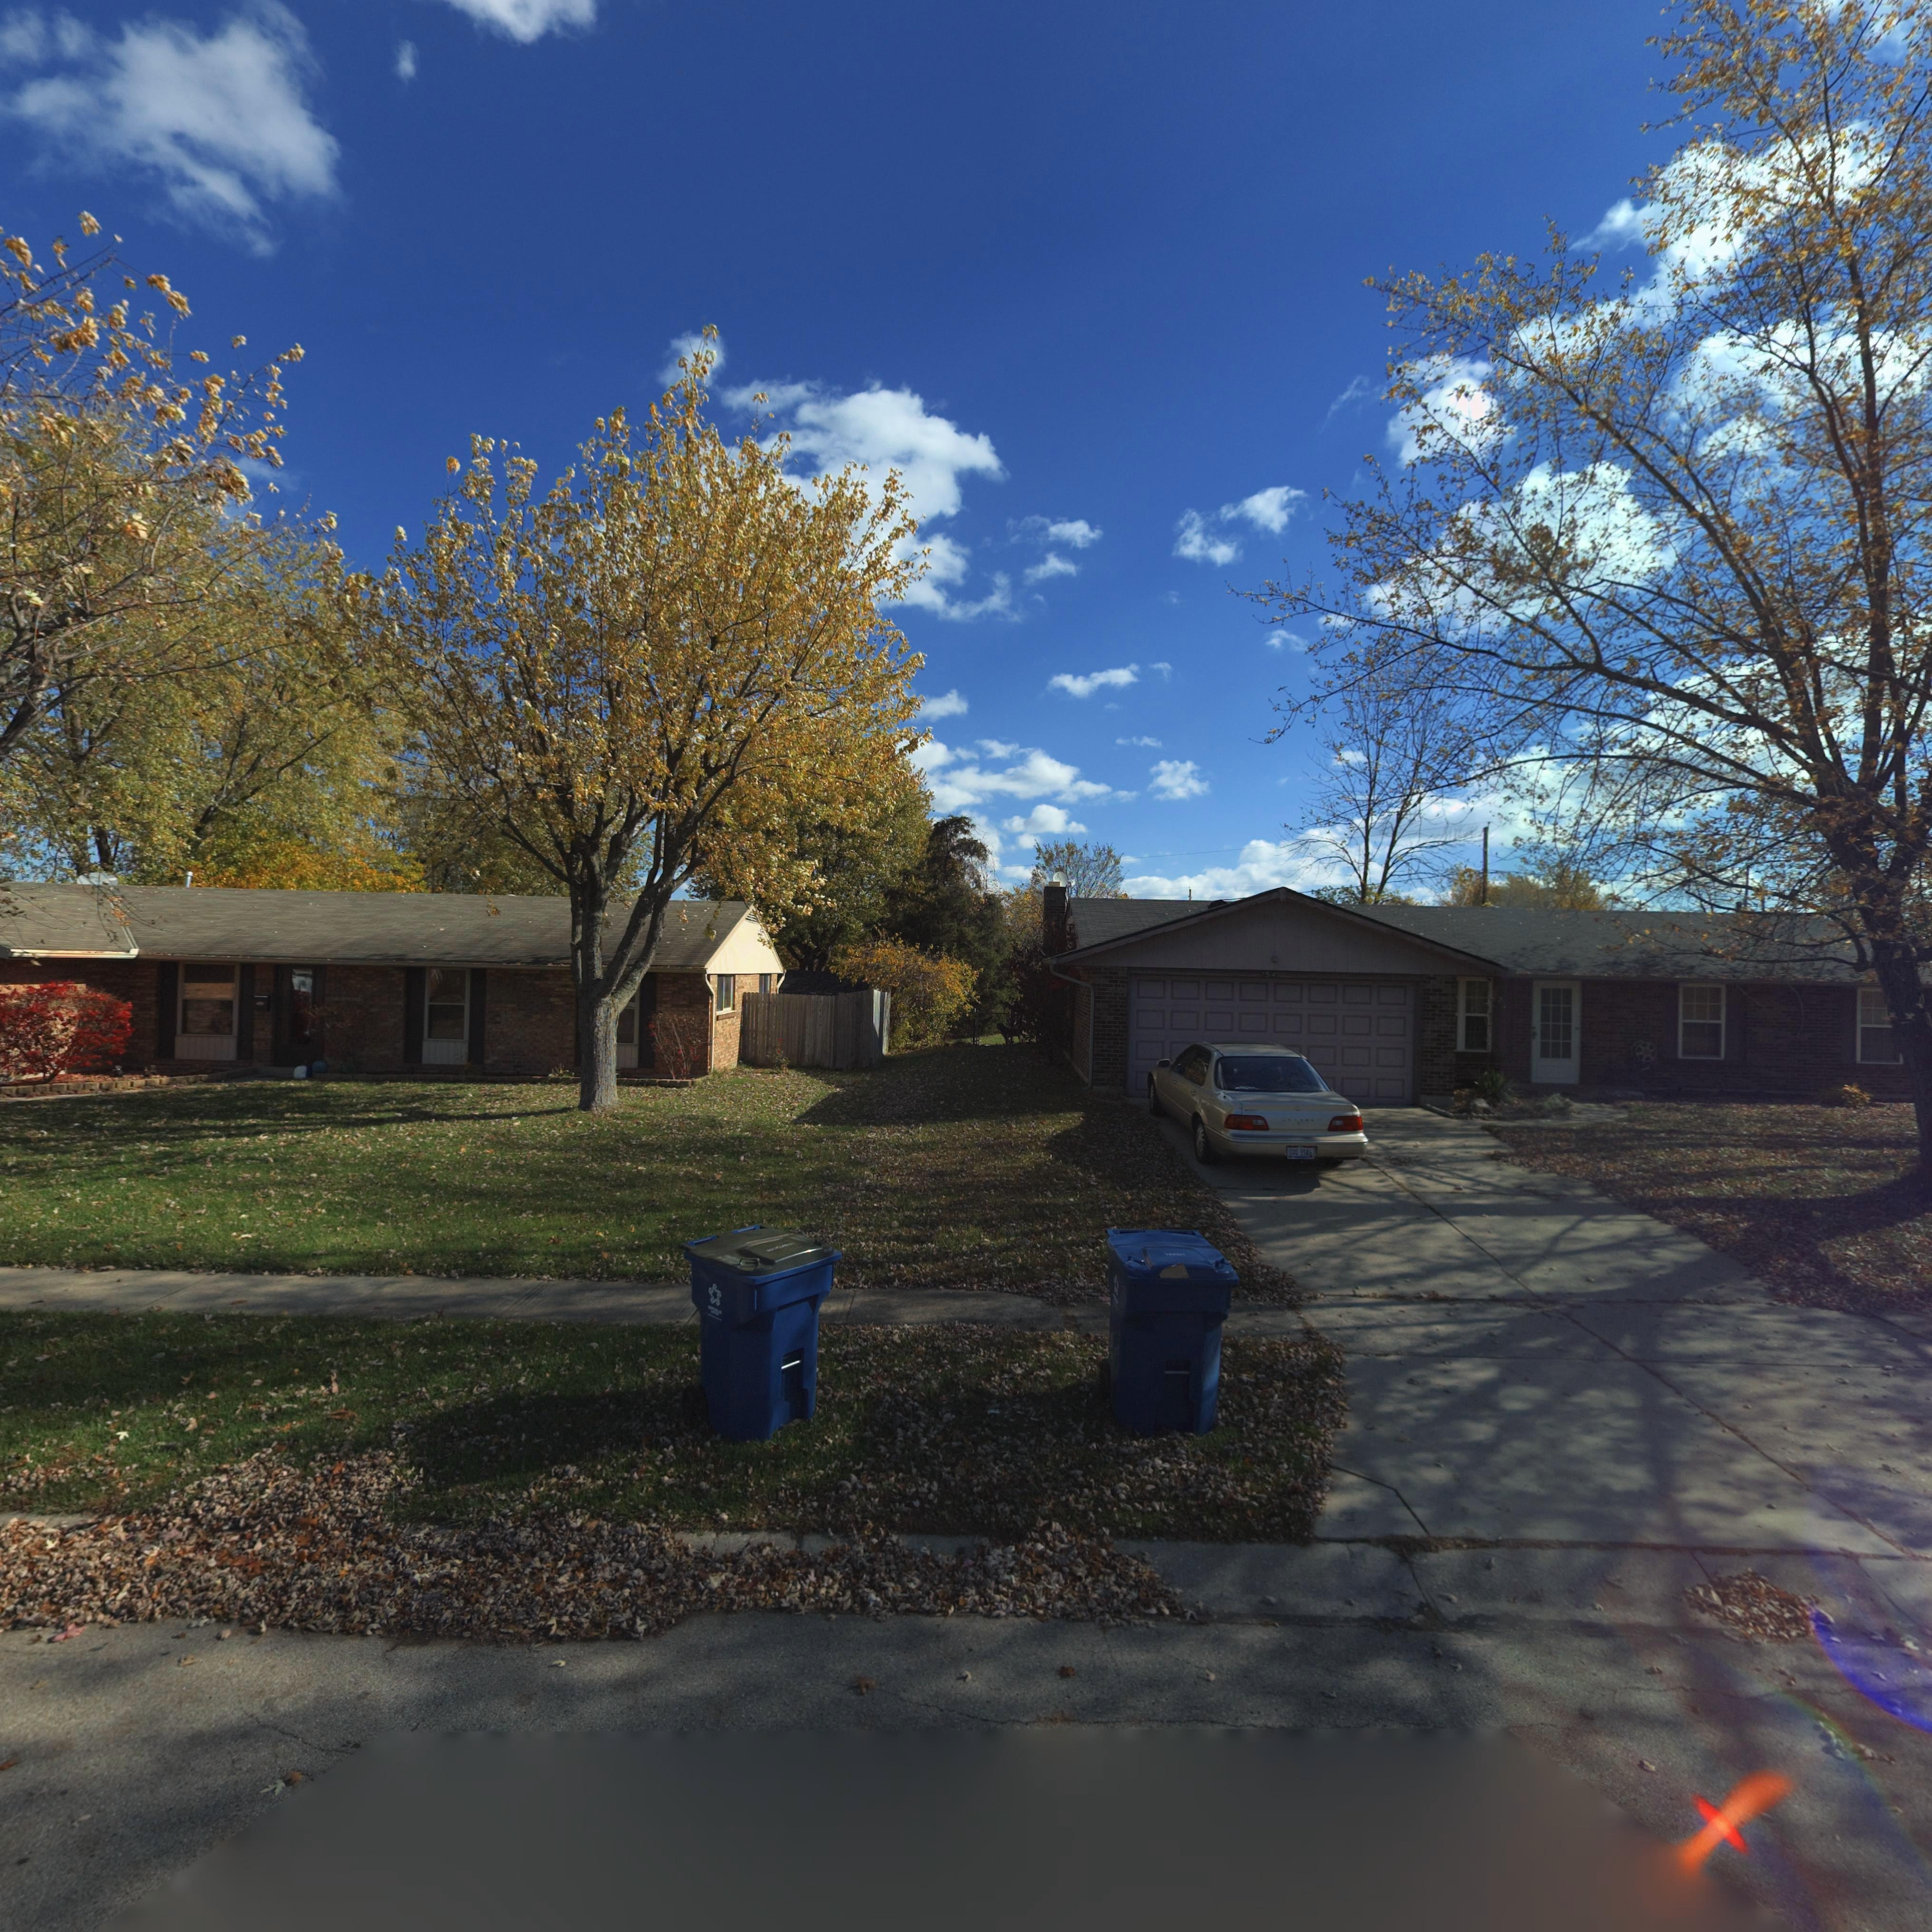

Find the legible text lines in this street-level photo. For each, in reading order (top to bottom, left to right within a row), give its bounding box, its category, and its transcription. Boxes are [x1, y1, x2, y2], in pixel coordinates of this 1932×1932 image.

[1260, 971, 1281, 978] StreetNumber: *540